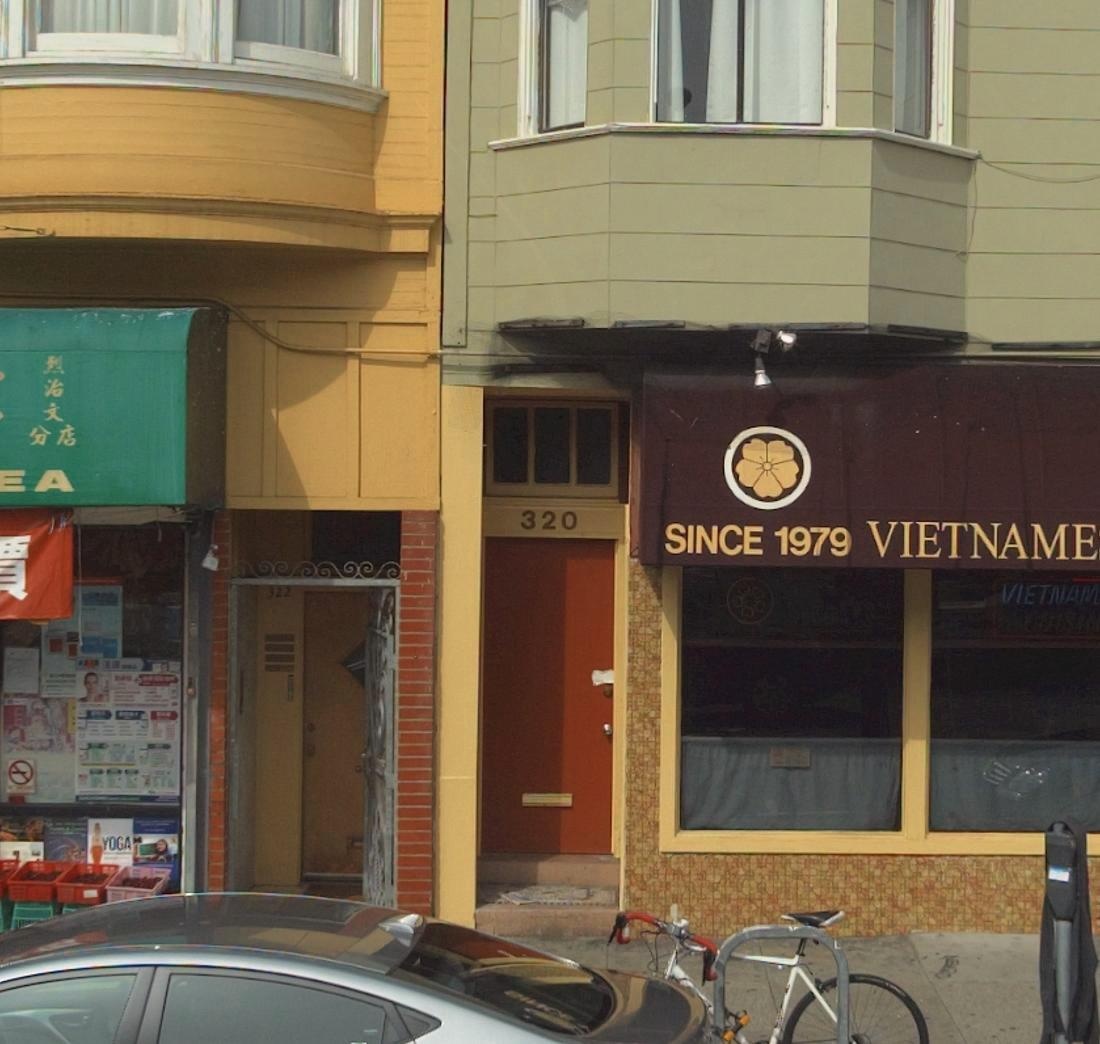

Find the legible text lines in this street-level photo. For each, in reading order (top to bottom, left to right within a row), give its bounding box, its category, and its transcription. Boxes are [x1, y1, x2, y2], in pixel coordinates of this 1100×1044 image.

[0, 469, 78, 493] BusinessName: EA
[520, 509, 578, 531] StreetNumber: 320
[664, 521, 854, 558] None: SINCE 1979
[866, 519, 1098, 562] BusinessName: VIETNAME
[265, 585, 292, 600] StreetNumber: 322
[1001, 582, 1098, 607] None: VIETNAM
[101, 836, 133, 851] None: YOGA